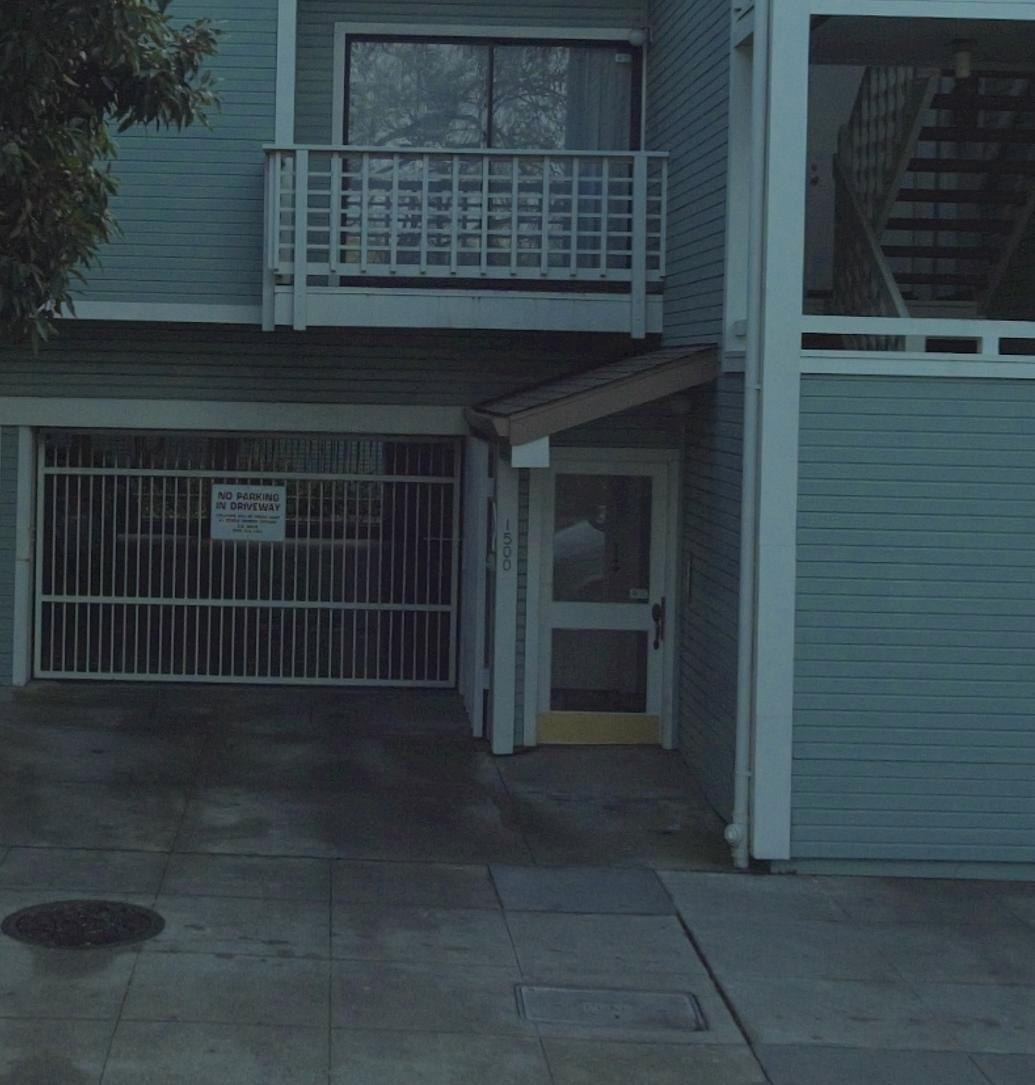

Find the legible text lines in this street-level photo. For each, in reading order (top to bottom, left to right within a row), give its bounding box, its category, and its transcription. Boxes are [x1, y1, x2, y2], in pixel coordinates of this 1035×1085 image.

[214, 489, 282, 503] None: NO PARKIN*
[228, 500, 283, 513] None: DRIVEWAY
[500, 516, 514, 573] StreetNumber: 1500